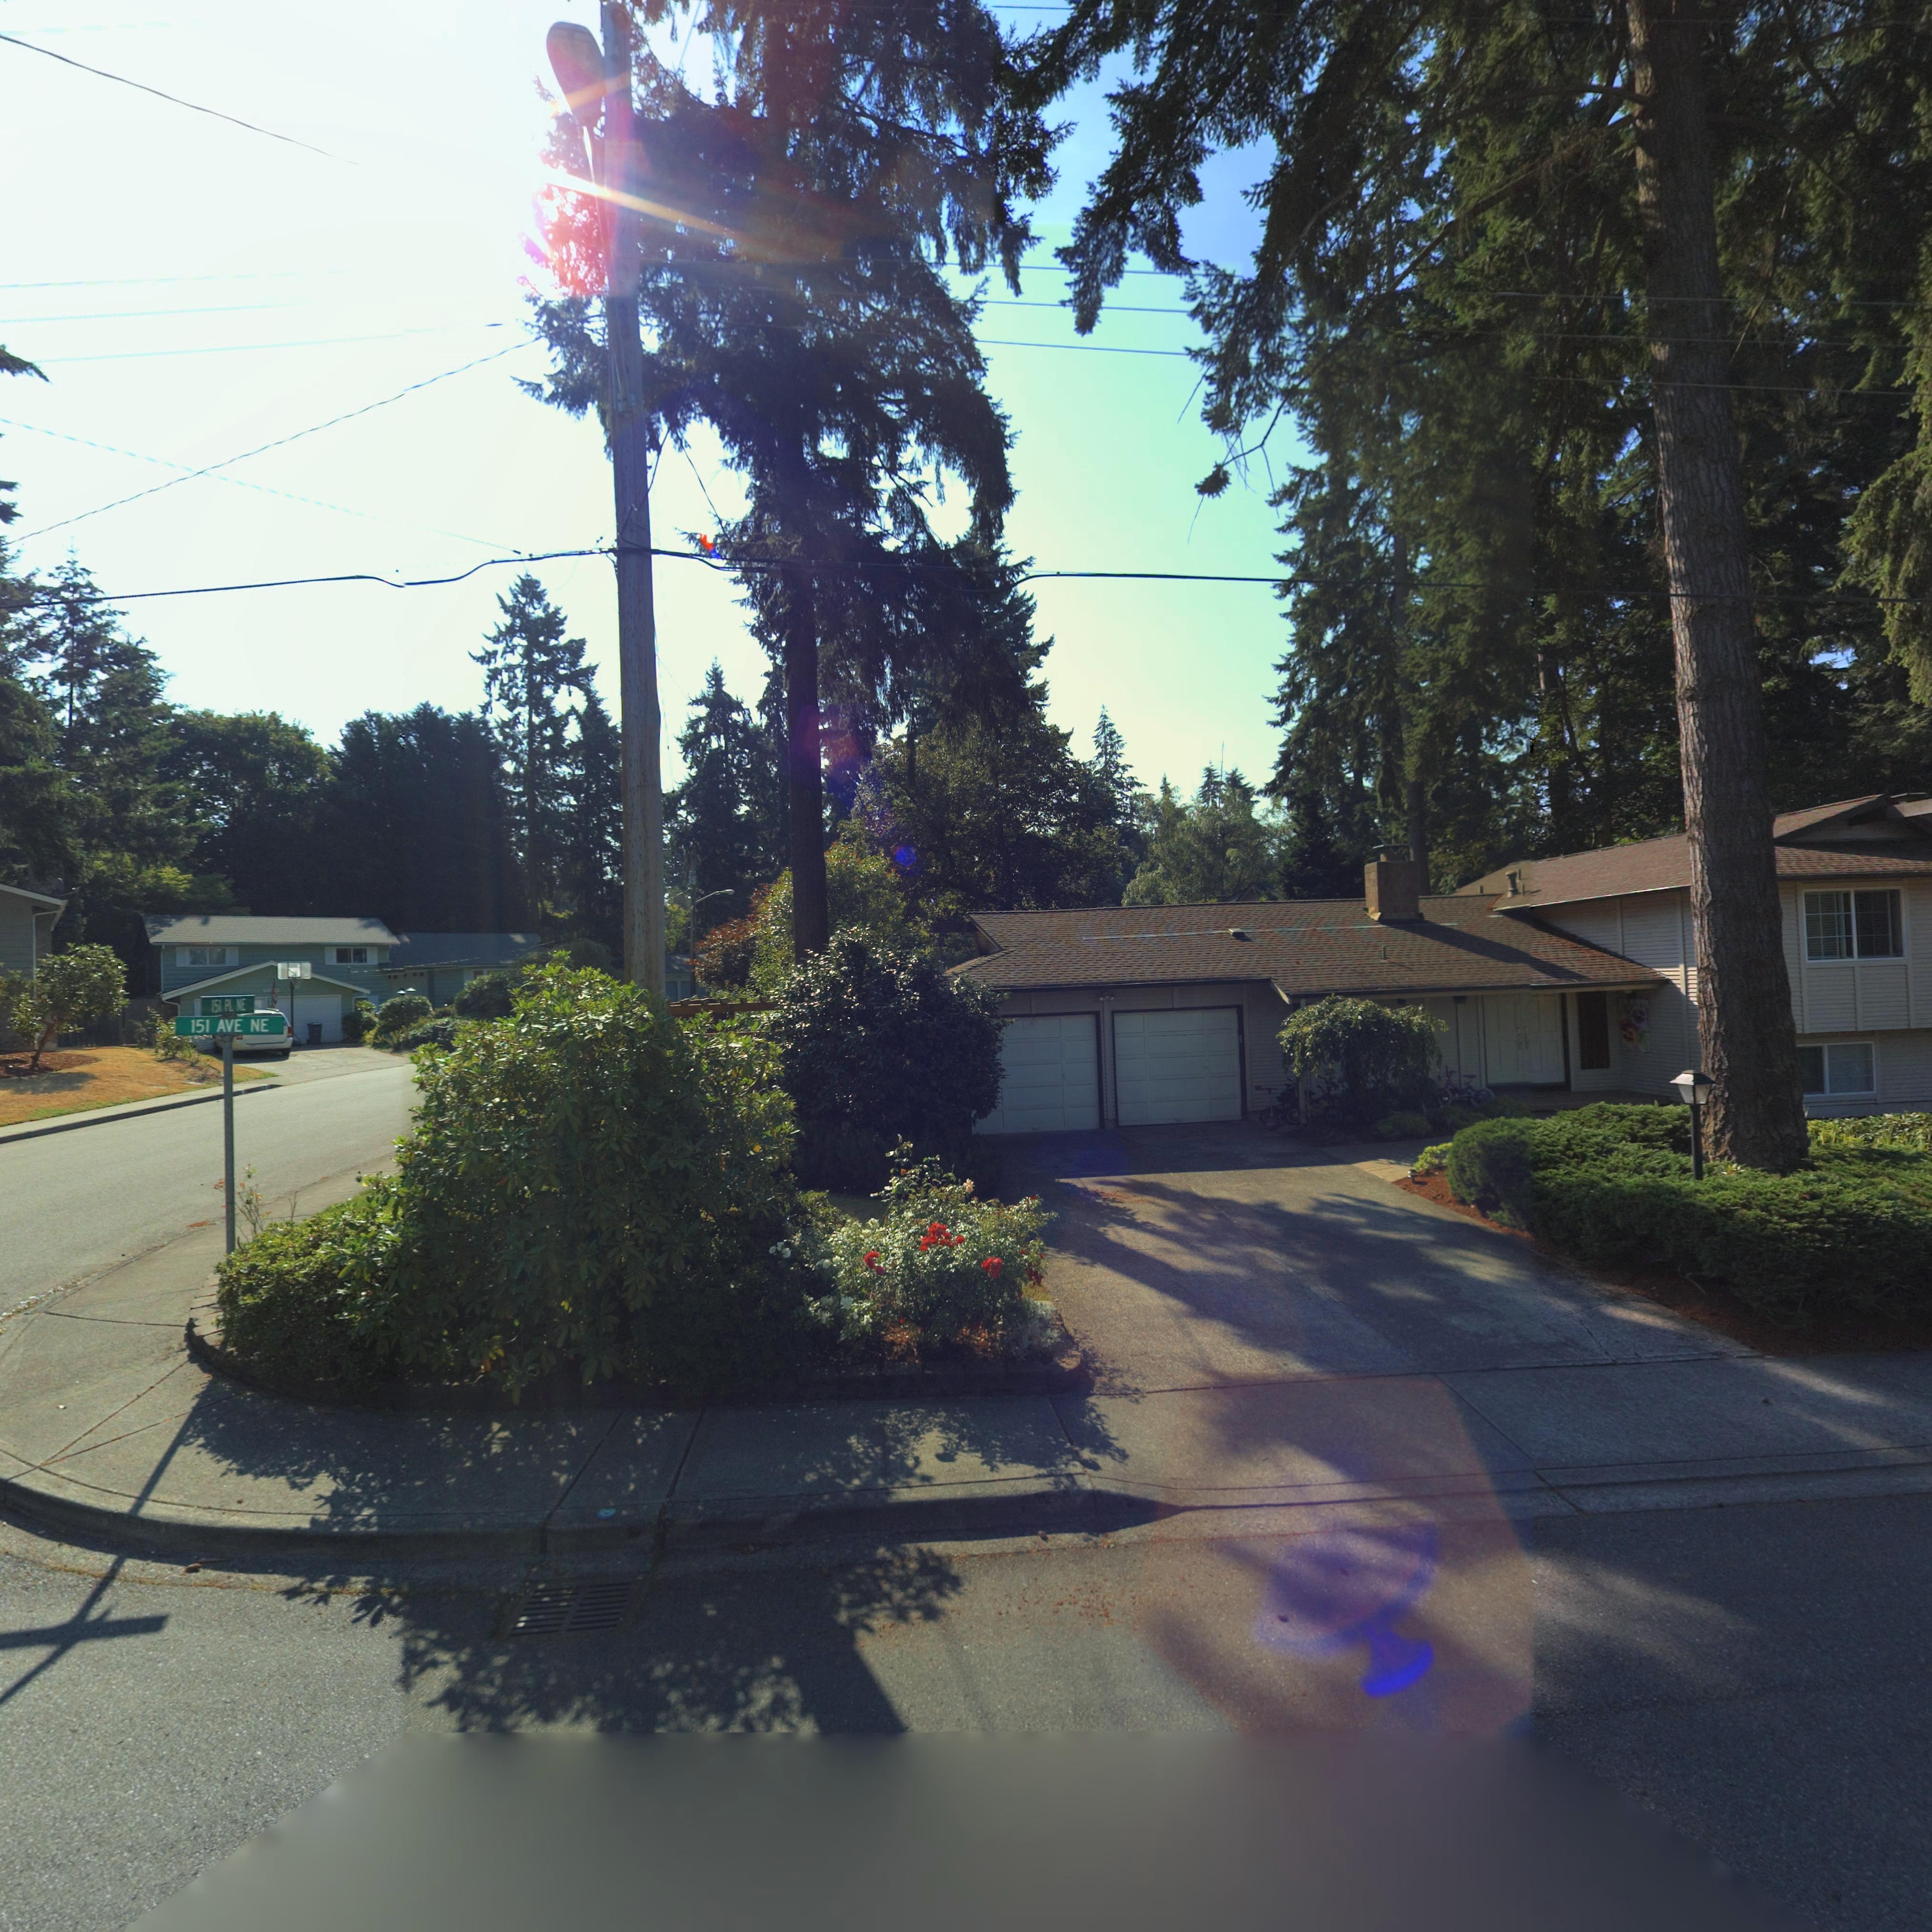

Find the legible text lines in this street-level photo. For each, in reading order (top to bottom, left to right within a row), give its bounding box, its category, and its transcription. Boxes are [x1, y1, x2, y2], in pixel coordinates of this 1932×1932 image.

[211, 998, 246, 1013] StreetName: 151 PL NE
[191, 1018, 268, 1033] StreetName: 151 AVE NE